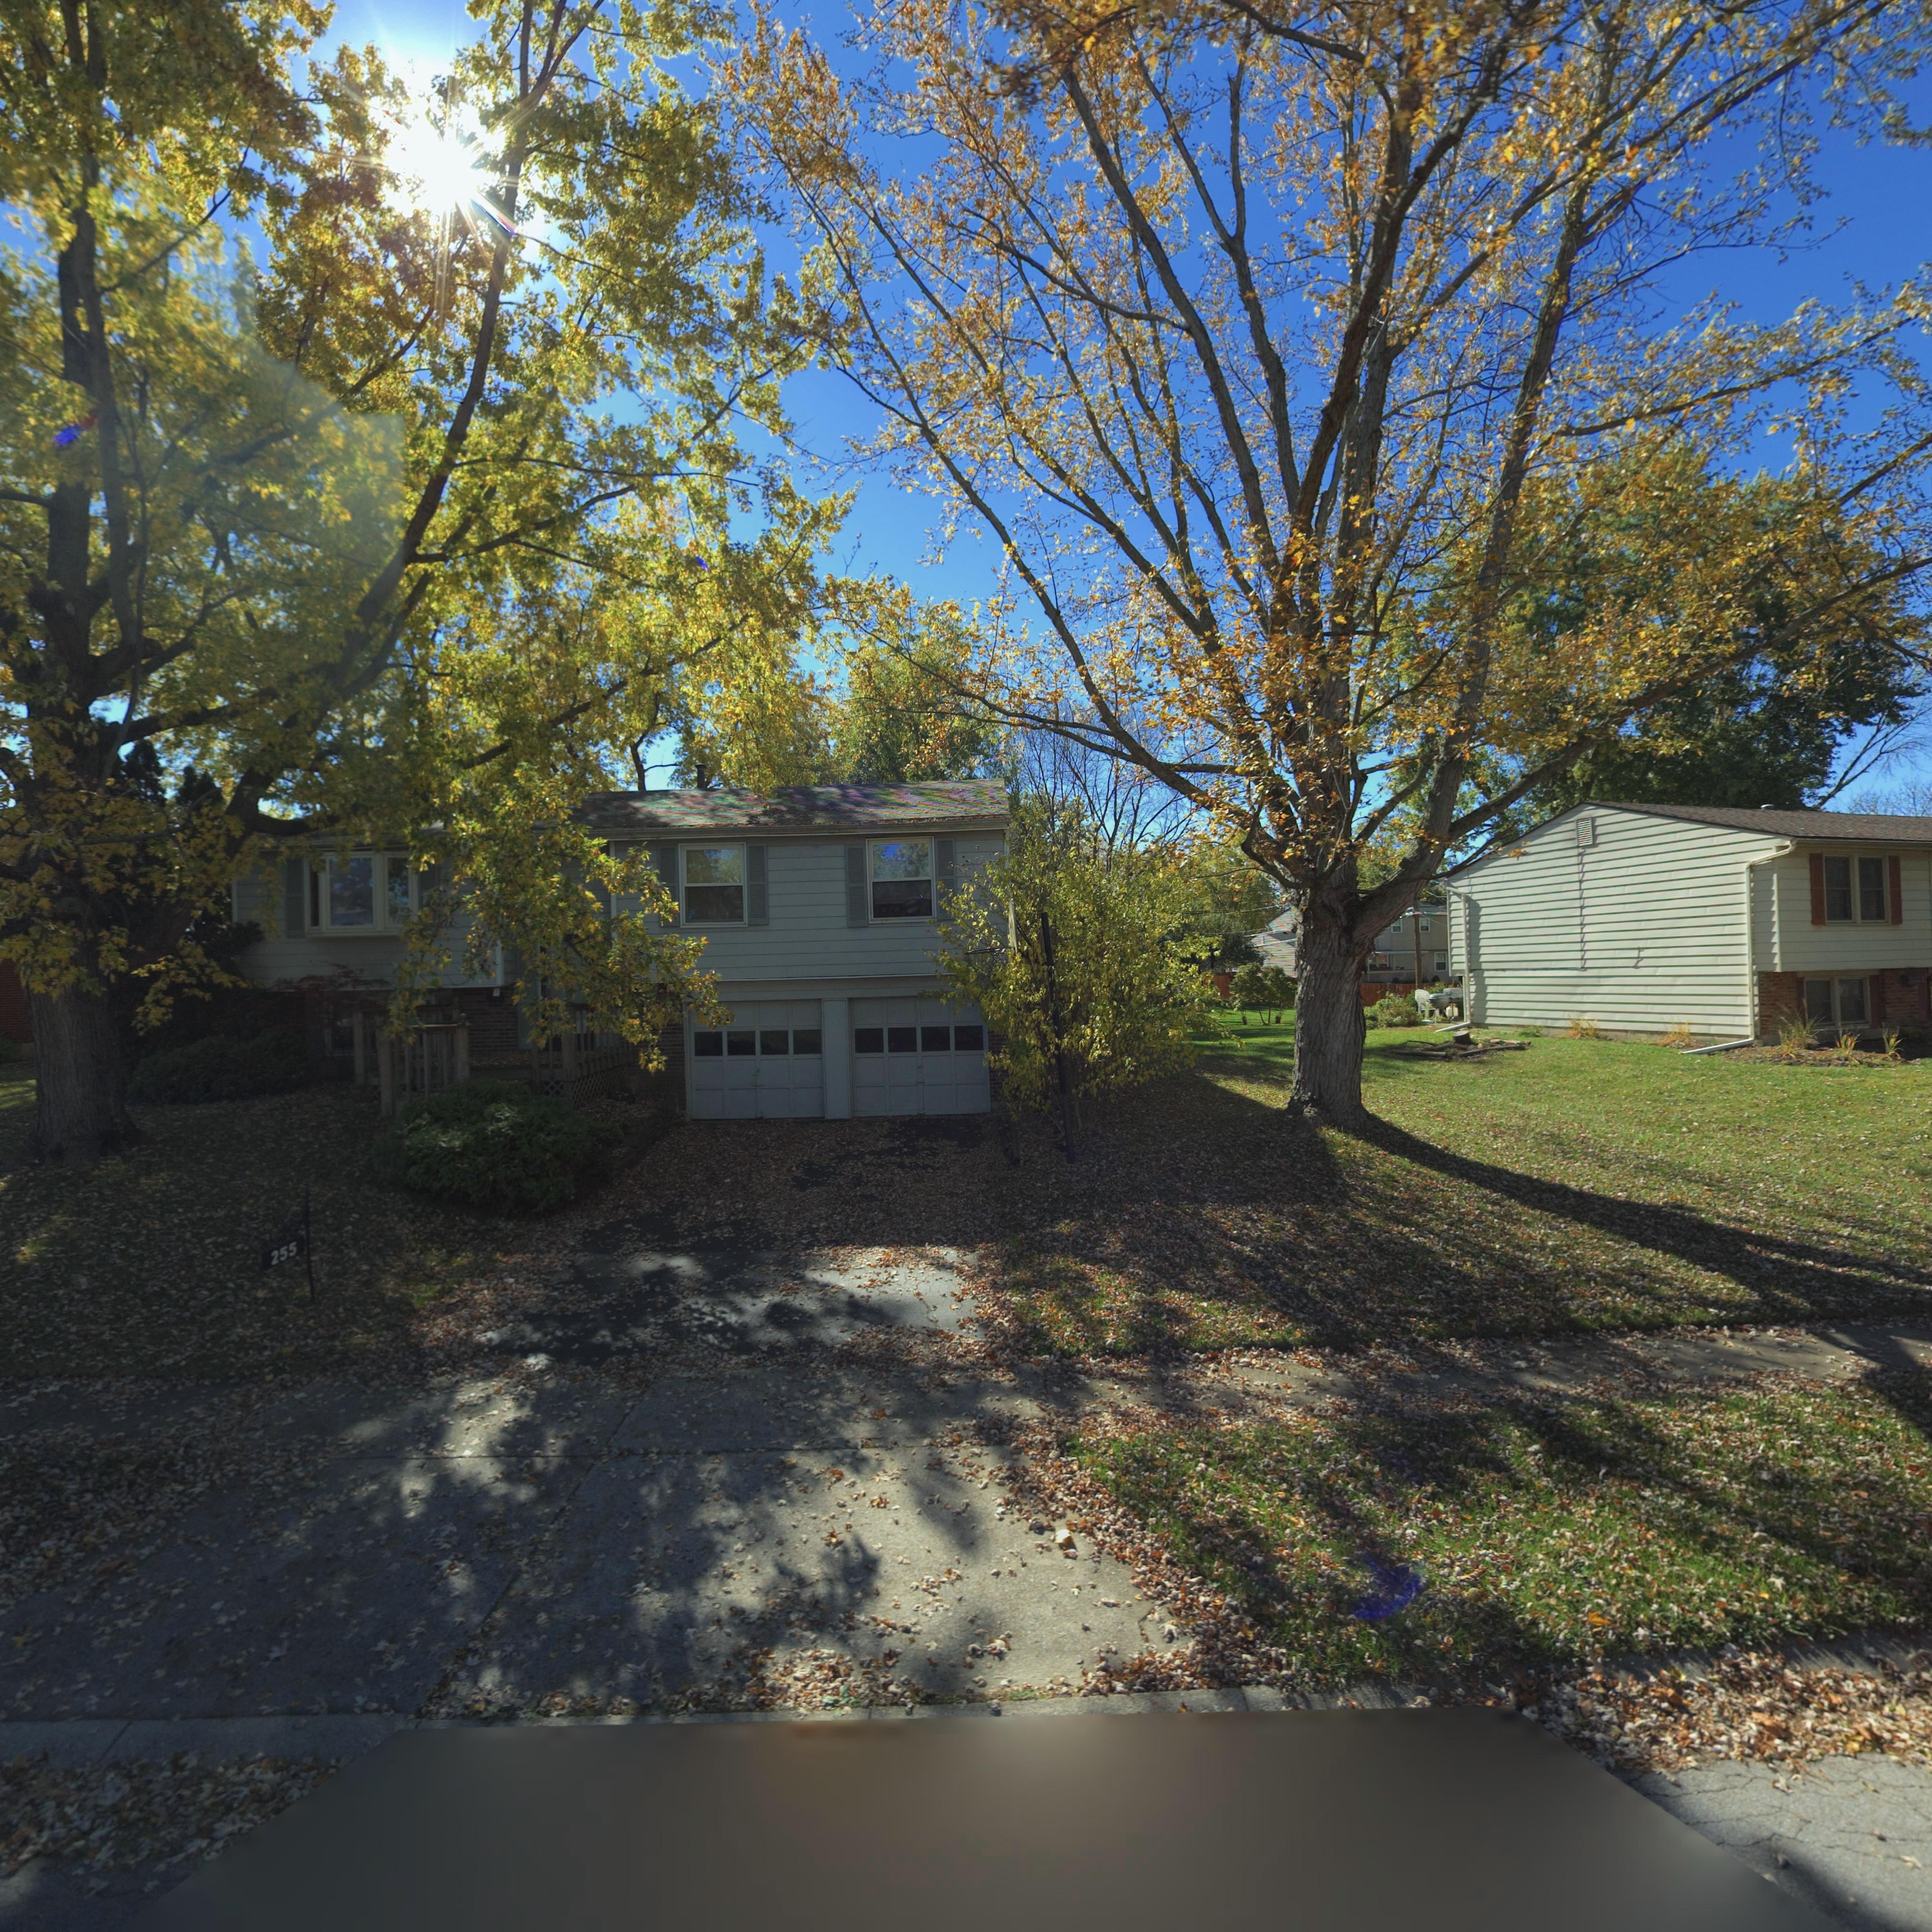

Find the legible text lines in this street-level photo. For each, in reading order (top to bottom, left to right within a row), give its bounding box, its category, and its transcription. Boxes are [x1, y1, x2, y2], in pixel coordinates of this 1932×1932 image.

[269, 1239, 299, 1268] StreetNumber: 255